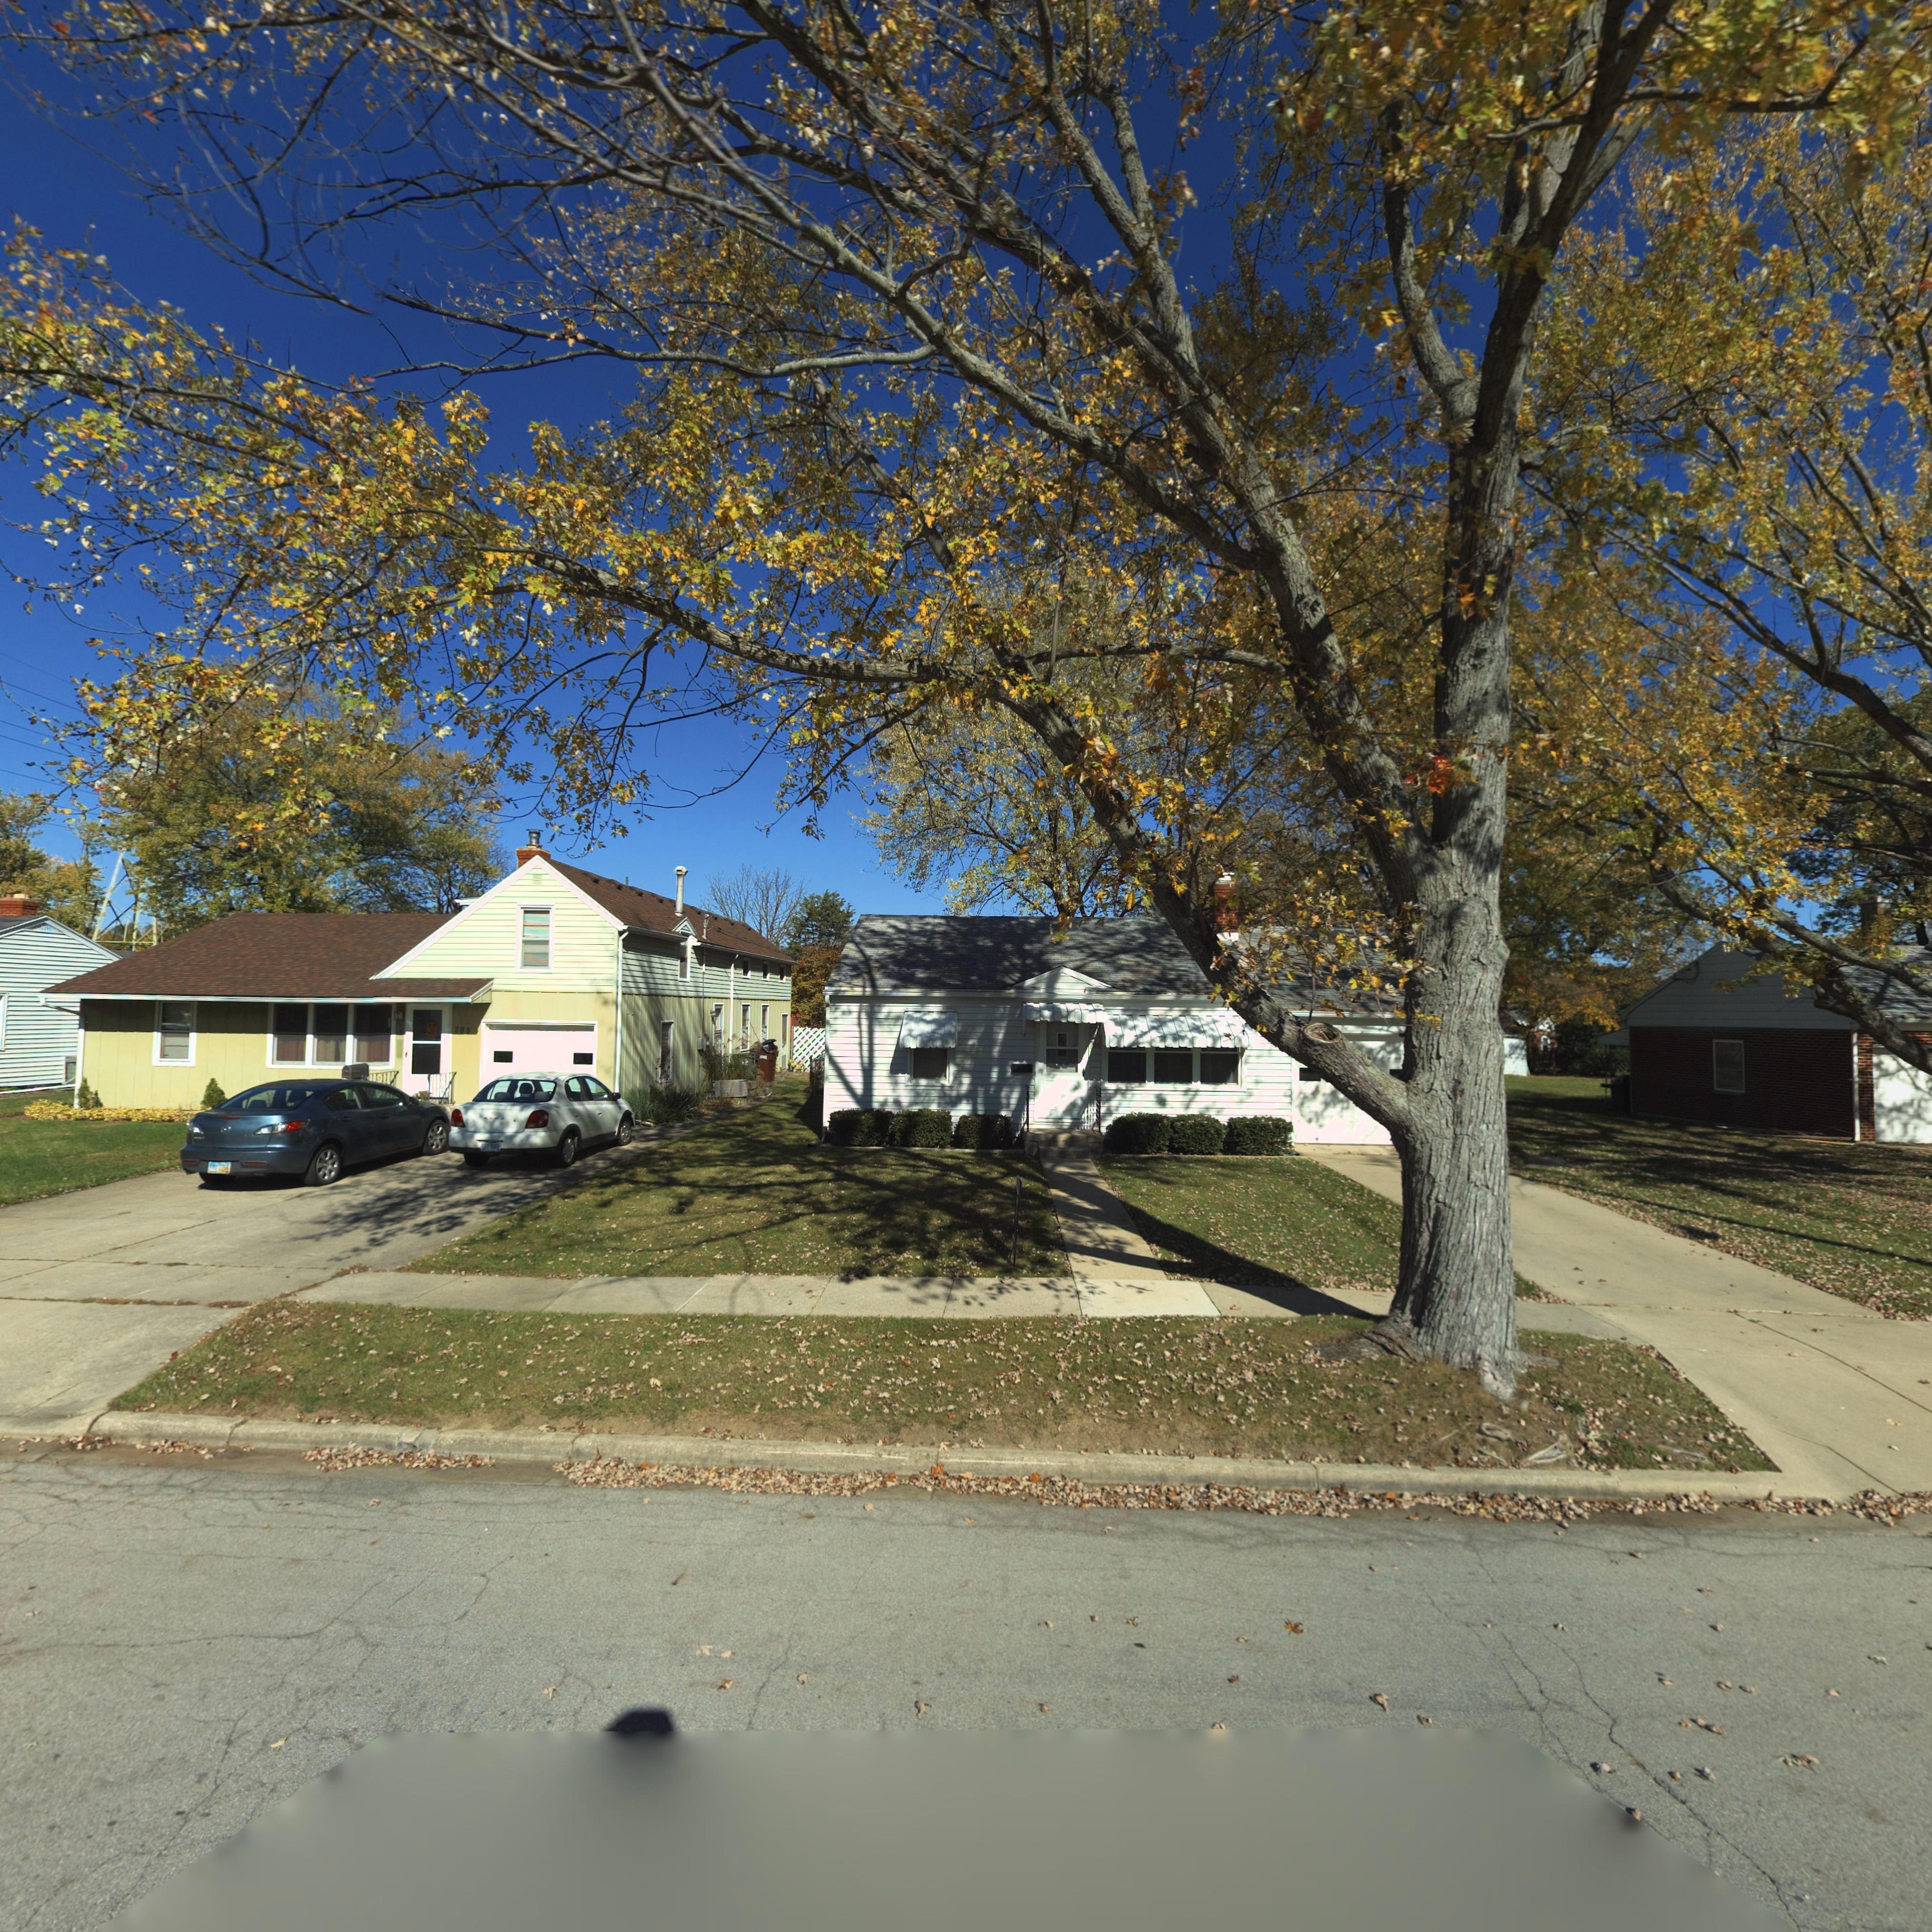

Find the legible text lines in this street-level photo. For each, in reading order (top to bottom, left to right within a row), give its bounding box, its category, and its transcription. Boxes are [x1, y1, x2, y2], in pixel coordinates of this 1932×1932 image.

[453, 1025, 472, 1034] StreetNumber: 208